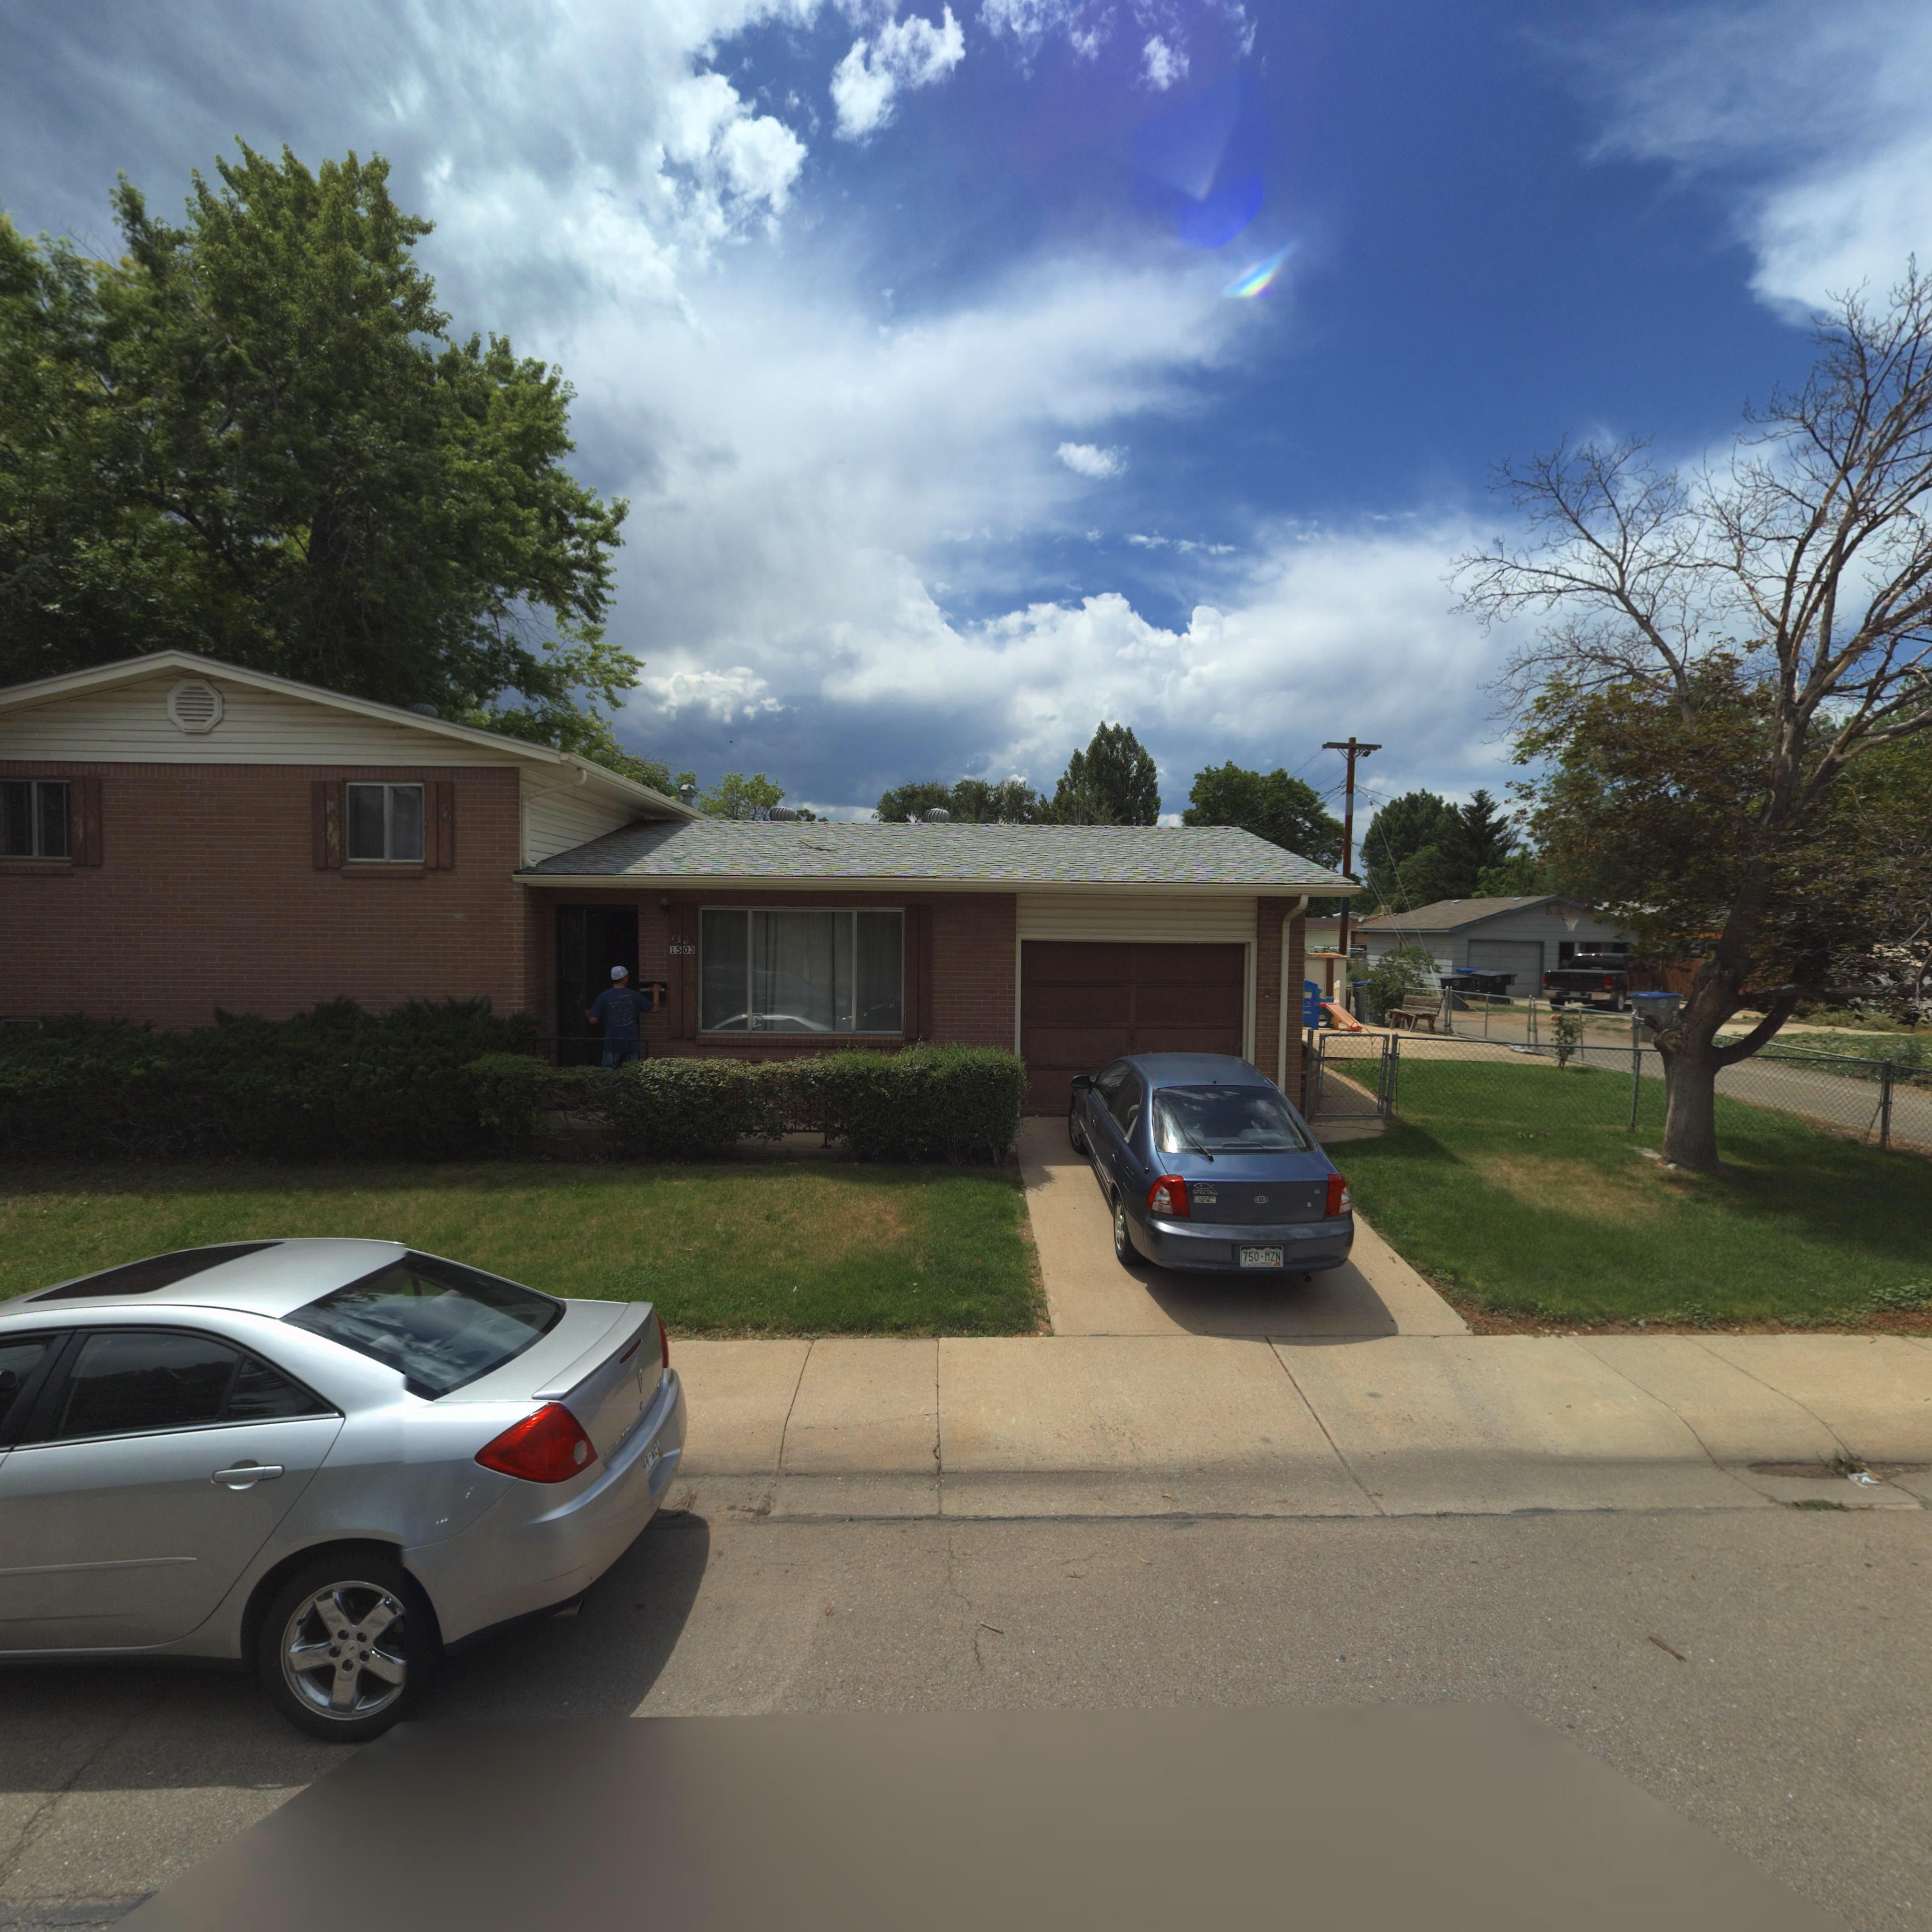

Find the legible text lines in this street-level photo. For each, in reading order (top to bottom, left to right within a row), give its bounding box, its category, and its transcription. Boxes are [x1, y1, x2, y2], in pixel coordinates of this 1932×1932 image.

[670, 933, 689, 945] StreetNumber: 150
[670, 946, 695, 954] StreetNumber: 1503